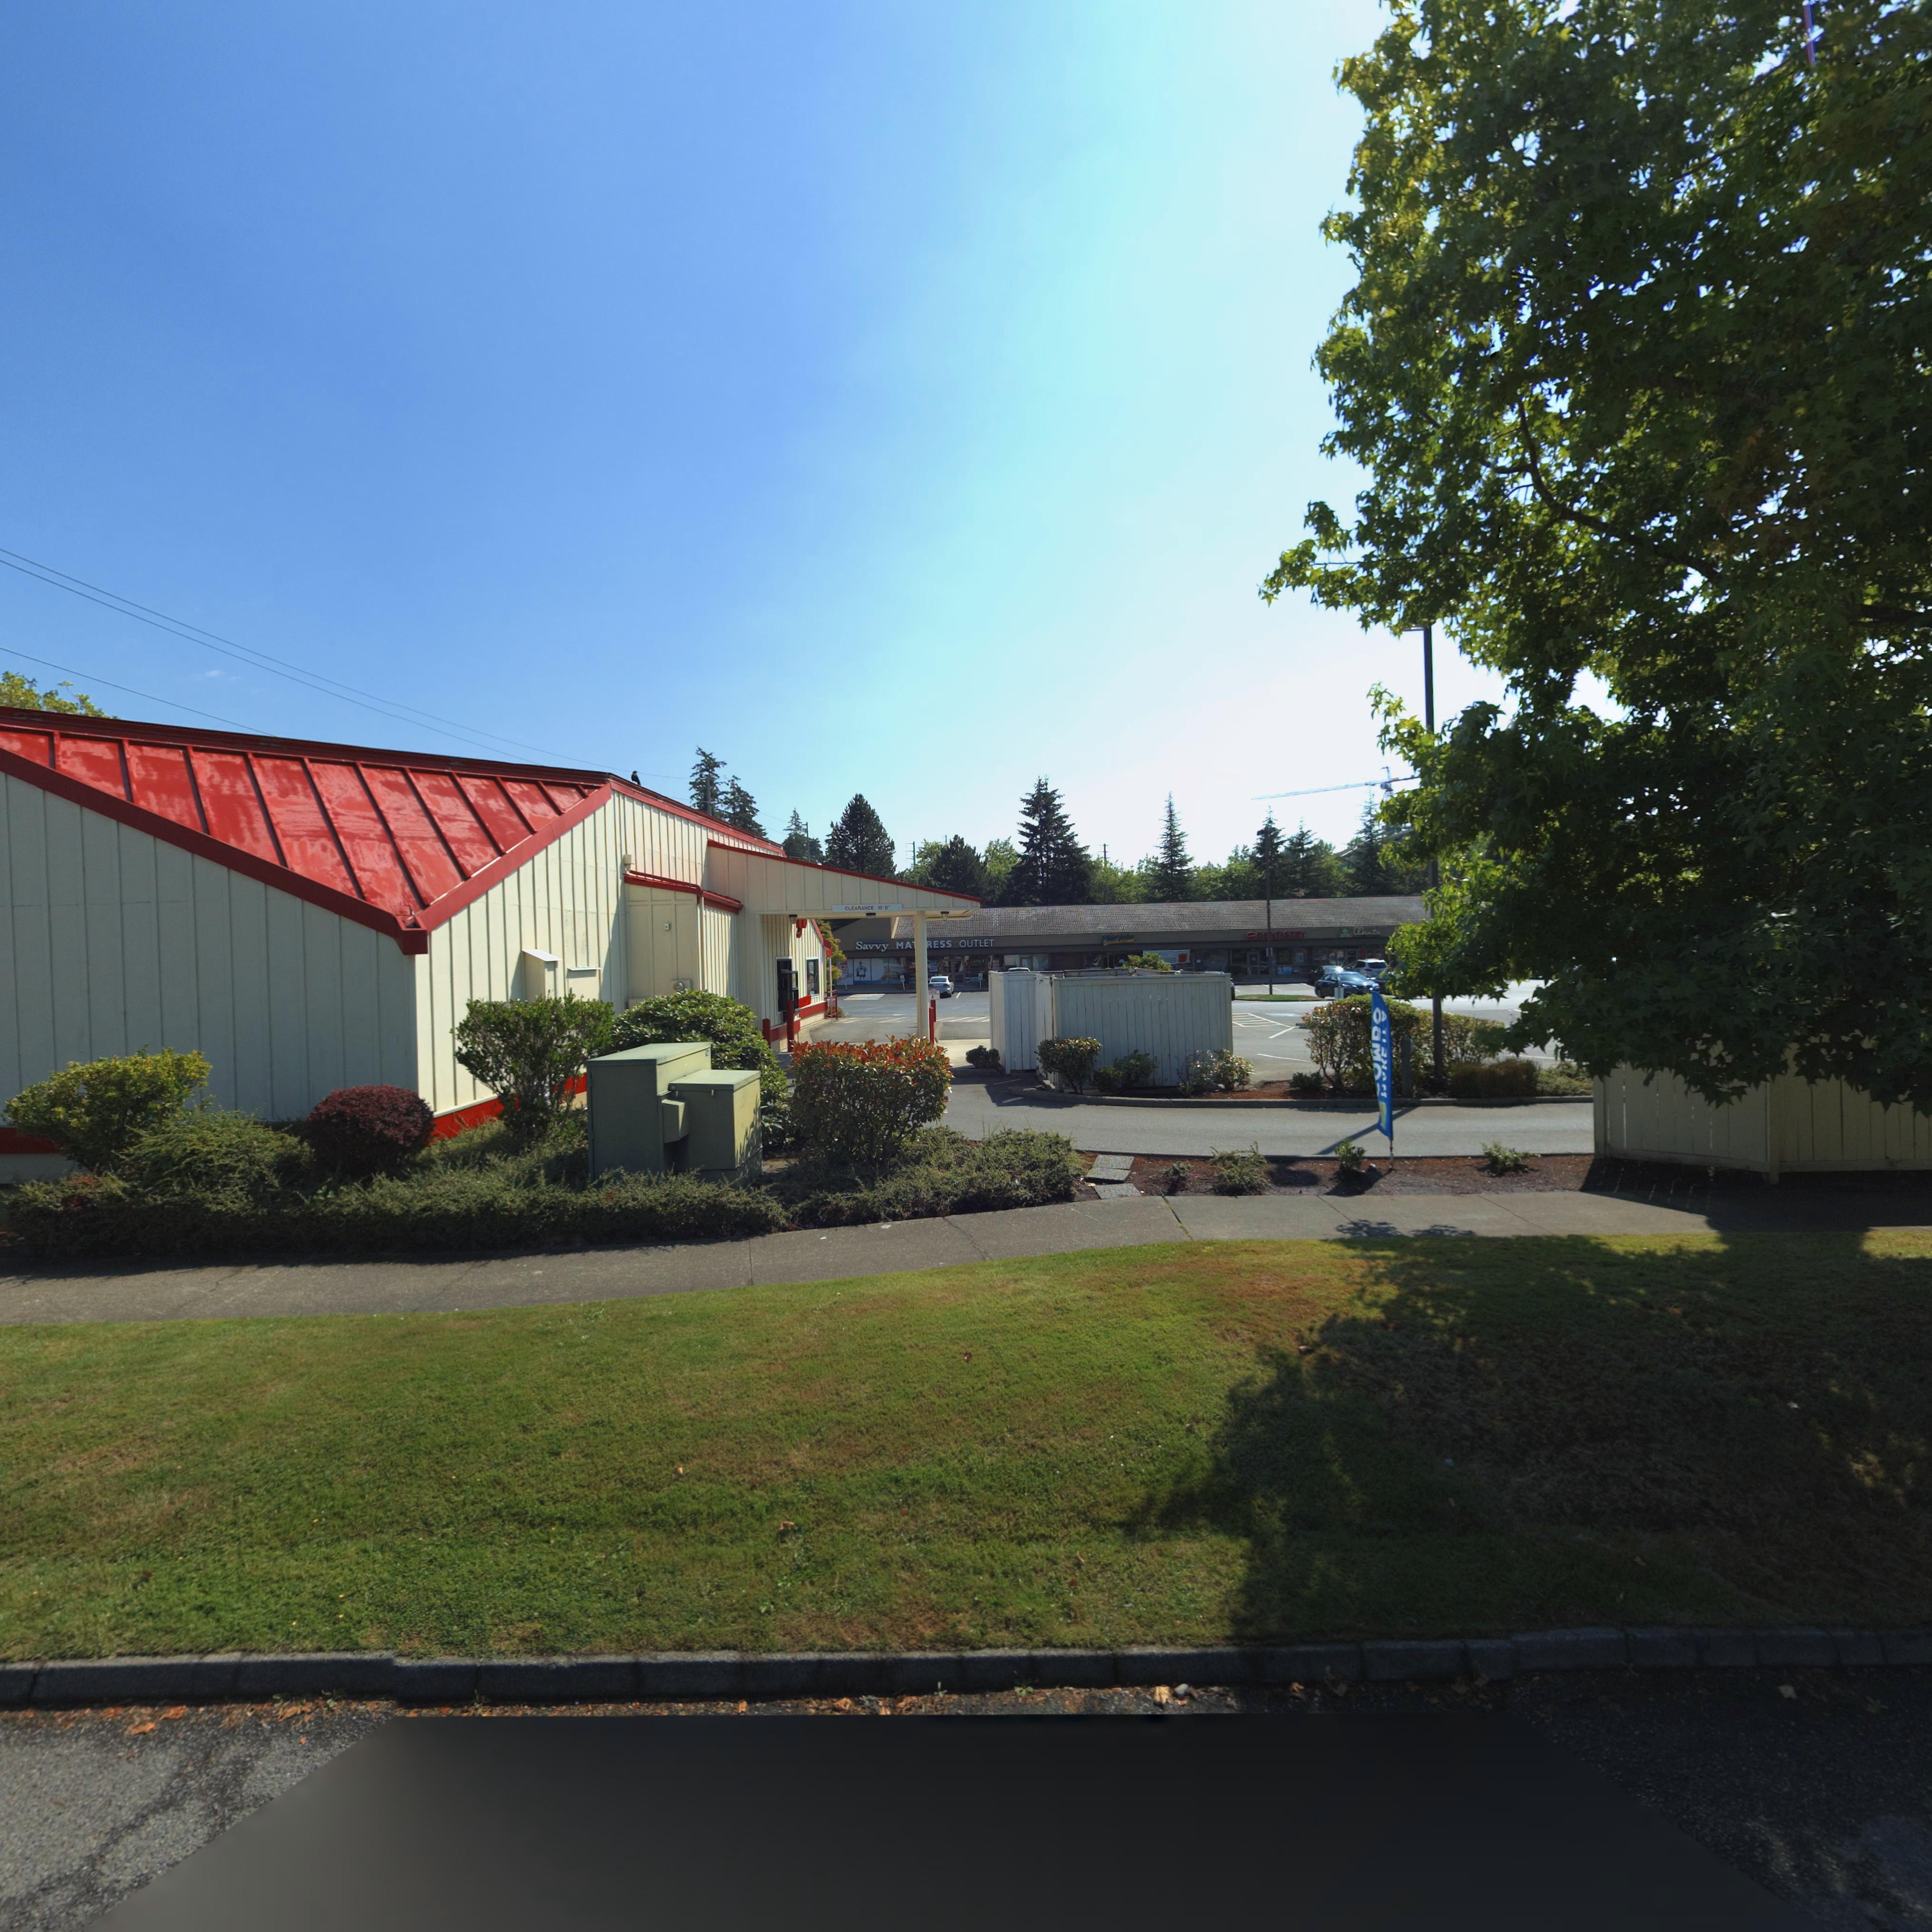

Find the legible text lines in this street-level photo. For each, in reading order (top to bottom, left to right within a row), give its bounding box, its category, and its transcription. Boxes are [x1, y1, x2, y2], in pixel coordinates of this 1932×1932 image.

[1257, 931, 1306, 938] BusinessName: DE*NTISTRY